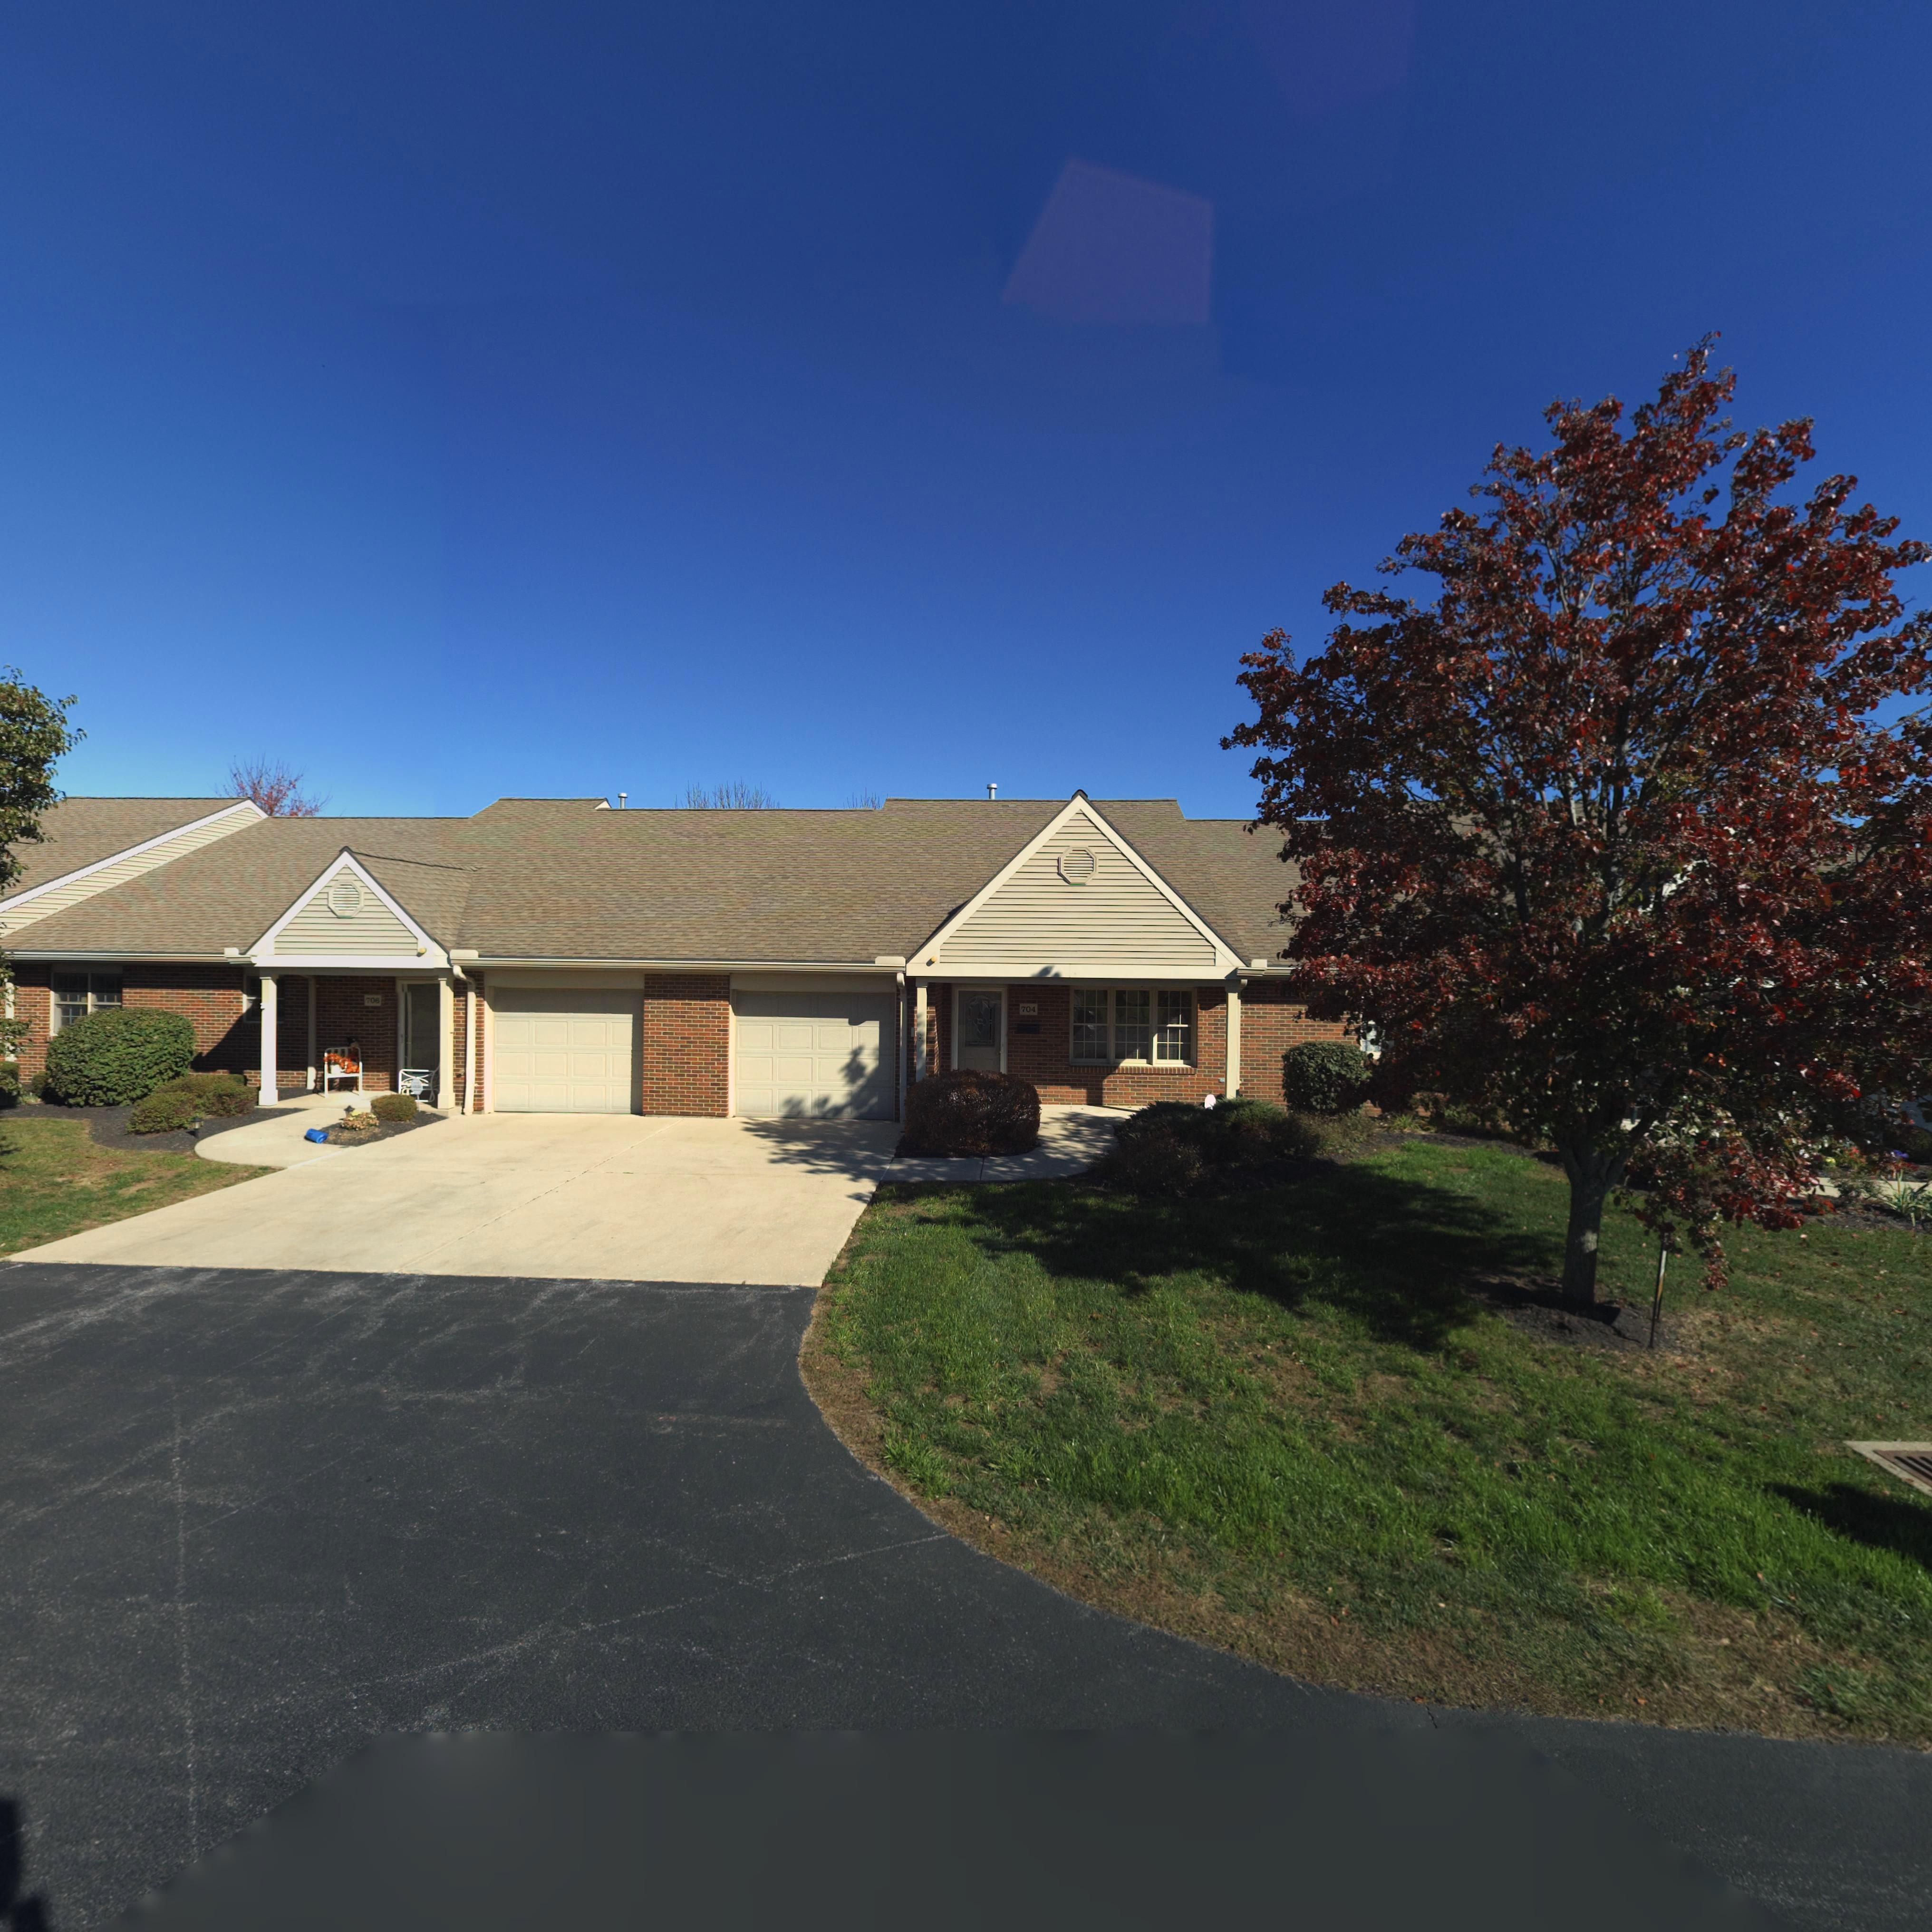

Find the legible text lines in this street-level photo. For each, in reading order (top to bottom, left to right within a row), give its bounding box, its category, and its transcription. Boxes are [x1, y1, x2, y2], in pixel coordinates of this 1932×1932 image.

[365, 997, 380, 1004] StreetNumber: 706
[1021, 1005, 1036, 1013] StreetNumber: 704